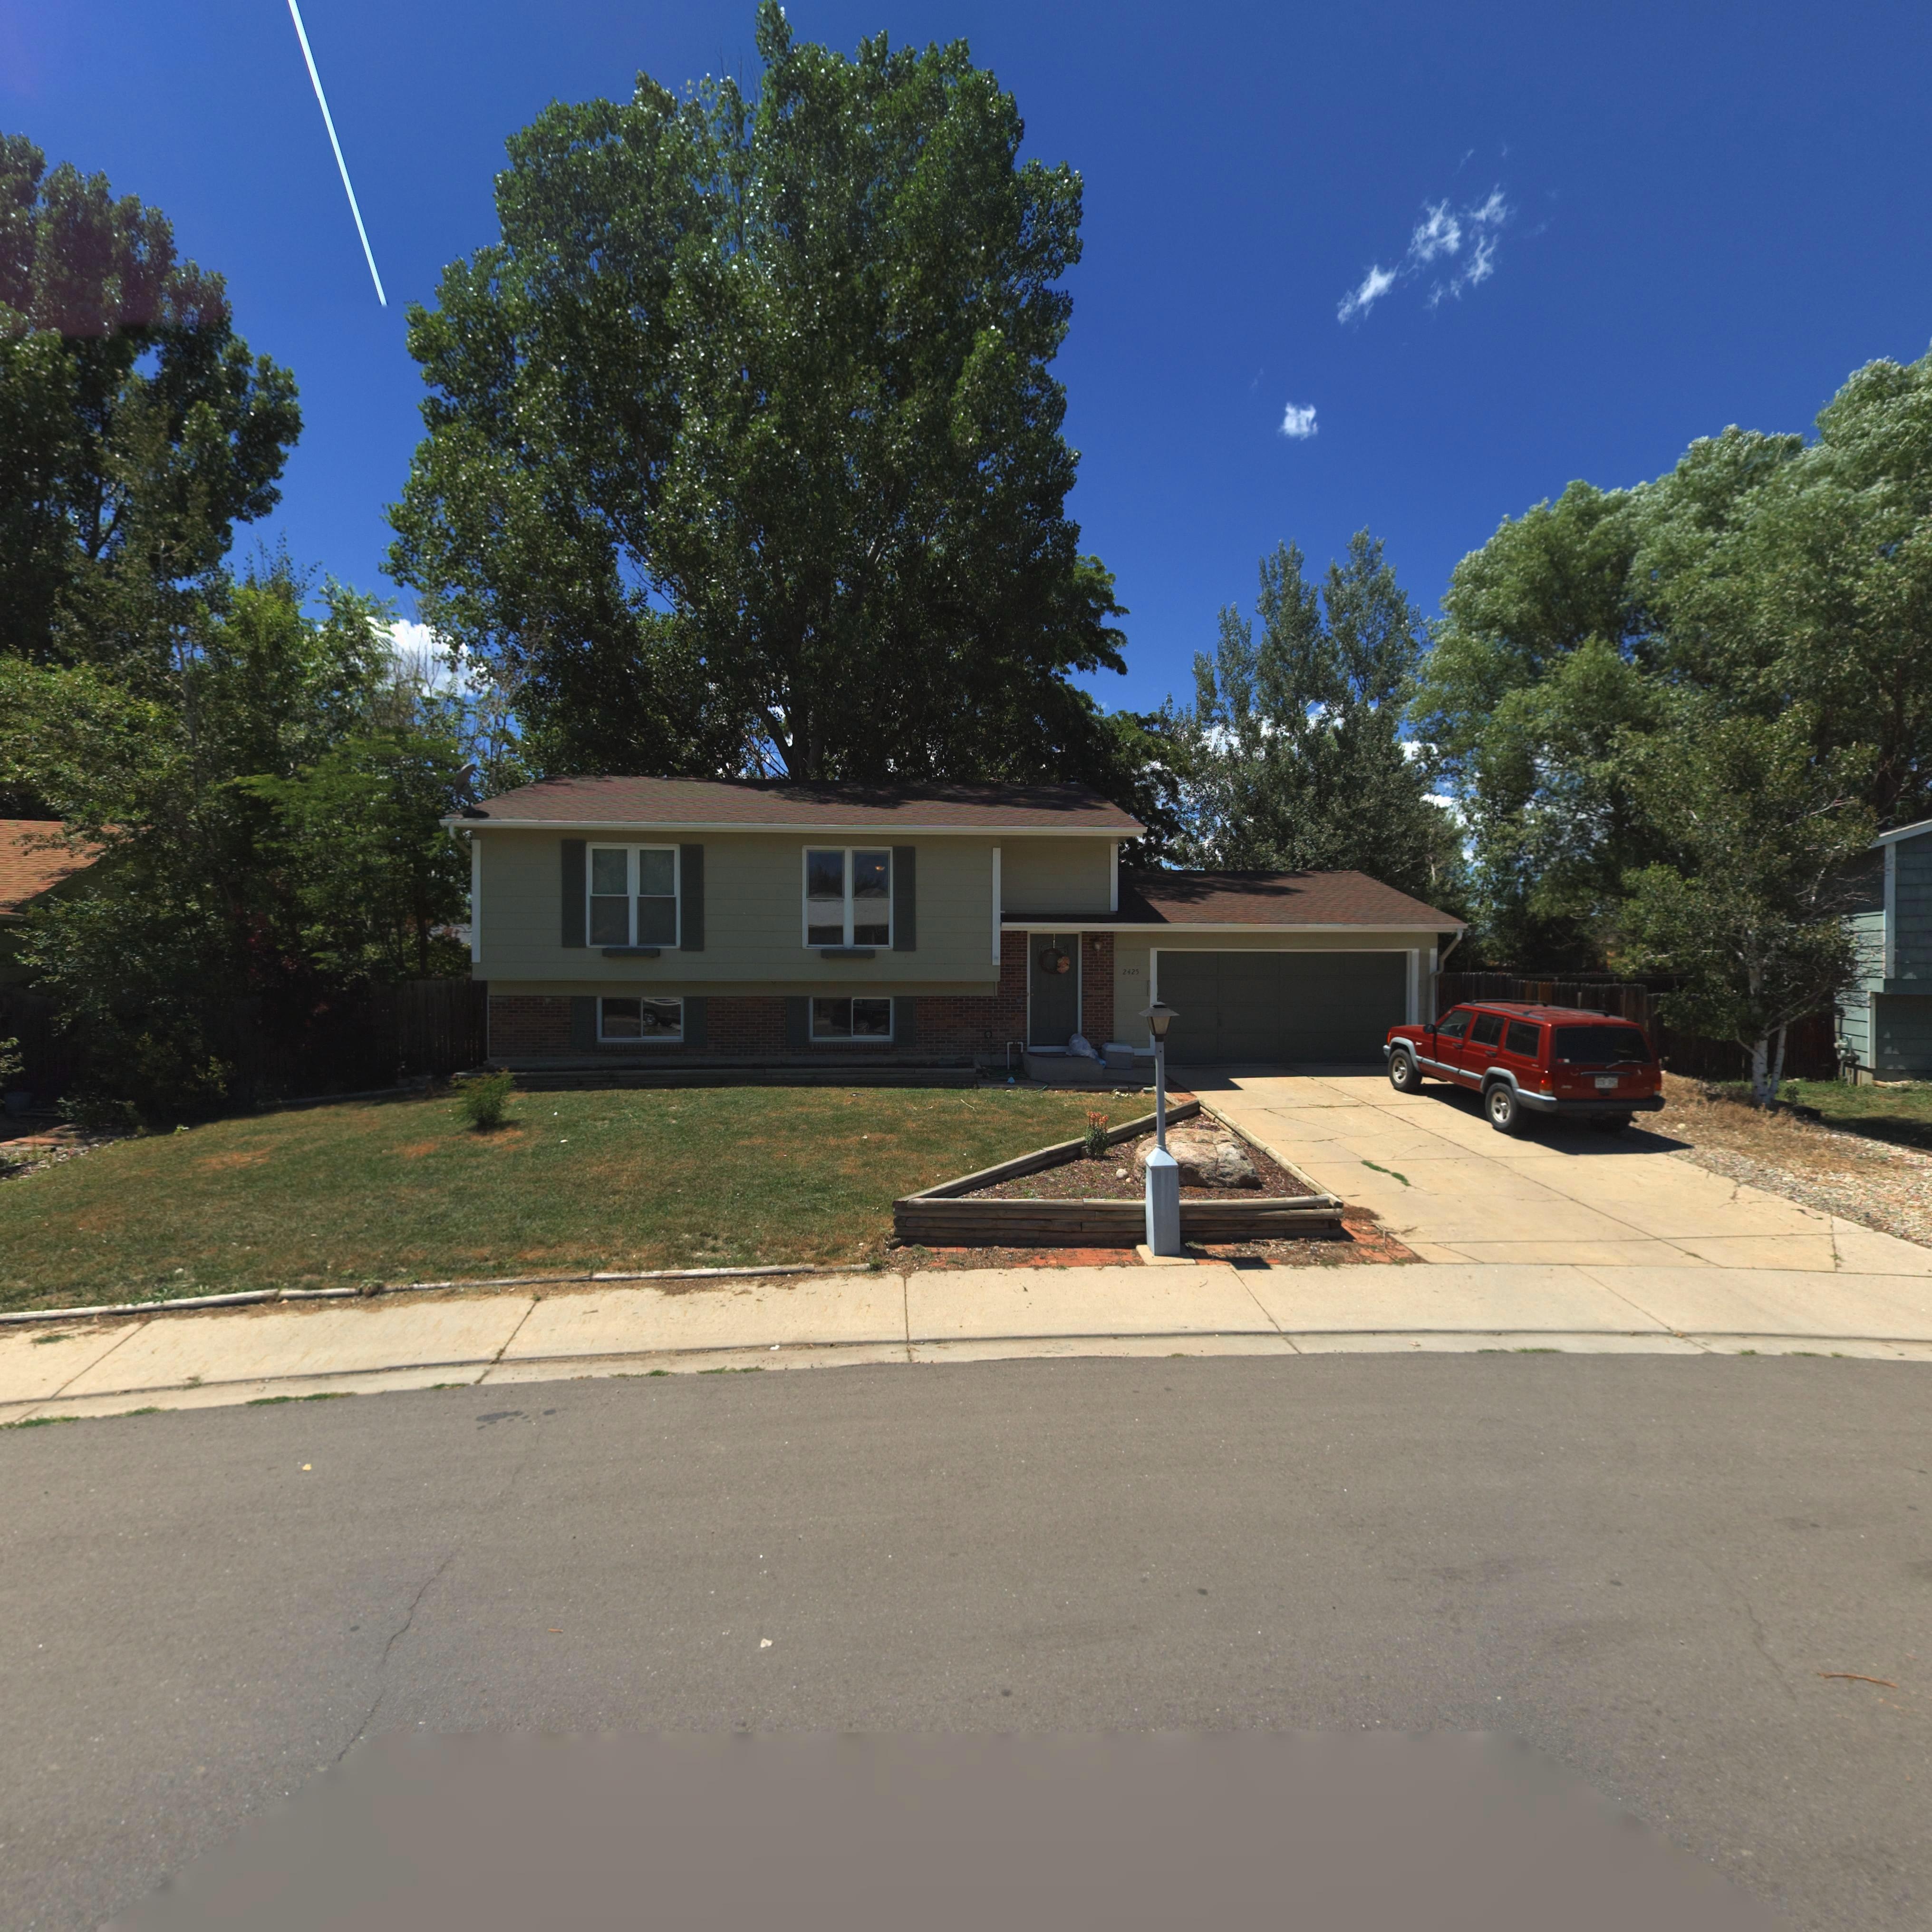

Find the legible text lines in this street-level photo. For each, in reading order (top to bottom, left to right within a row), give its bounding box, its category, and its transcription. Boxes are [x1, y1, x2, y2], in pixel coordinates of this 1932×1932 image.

[1122, 969, 1139, 975] StreetNumber: 2425